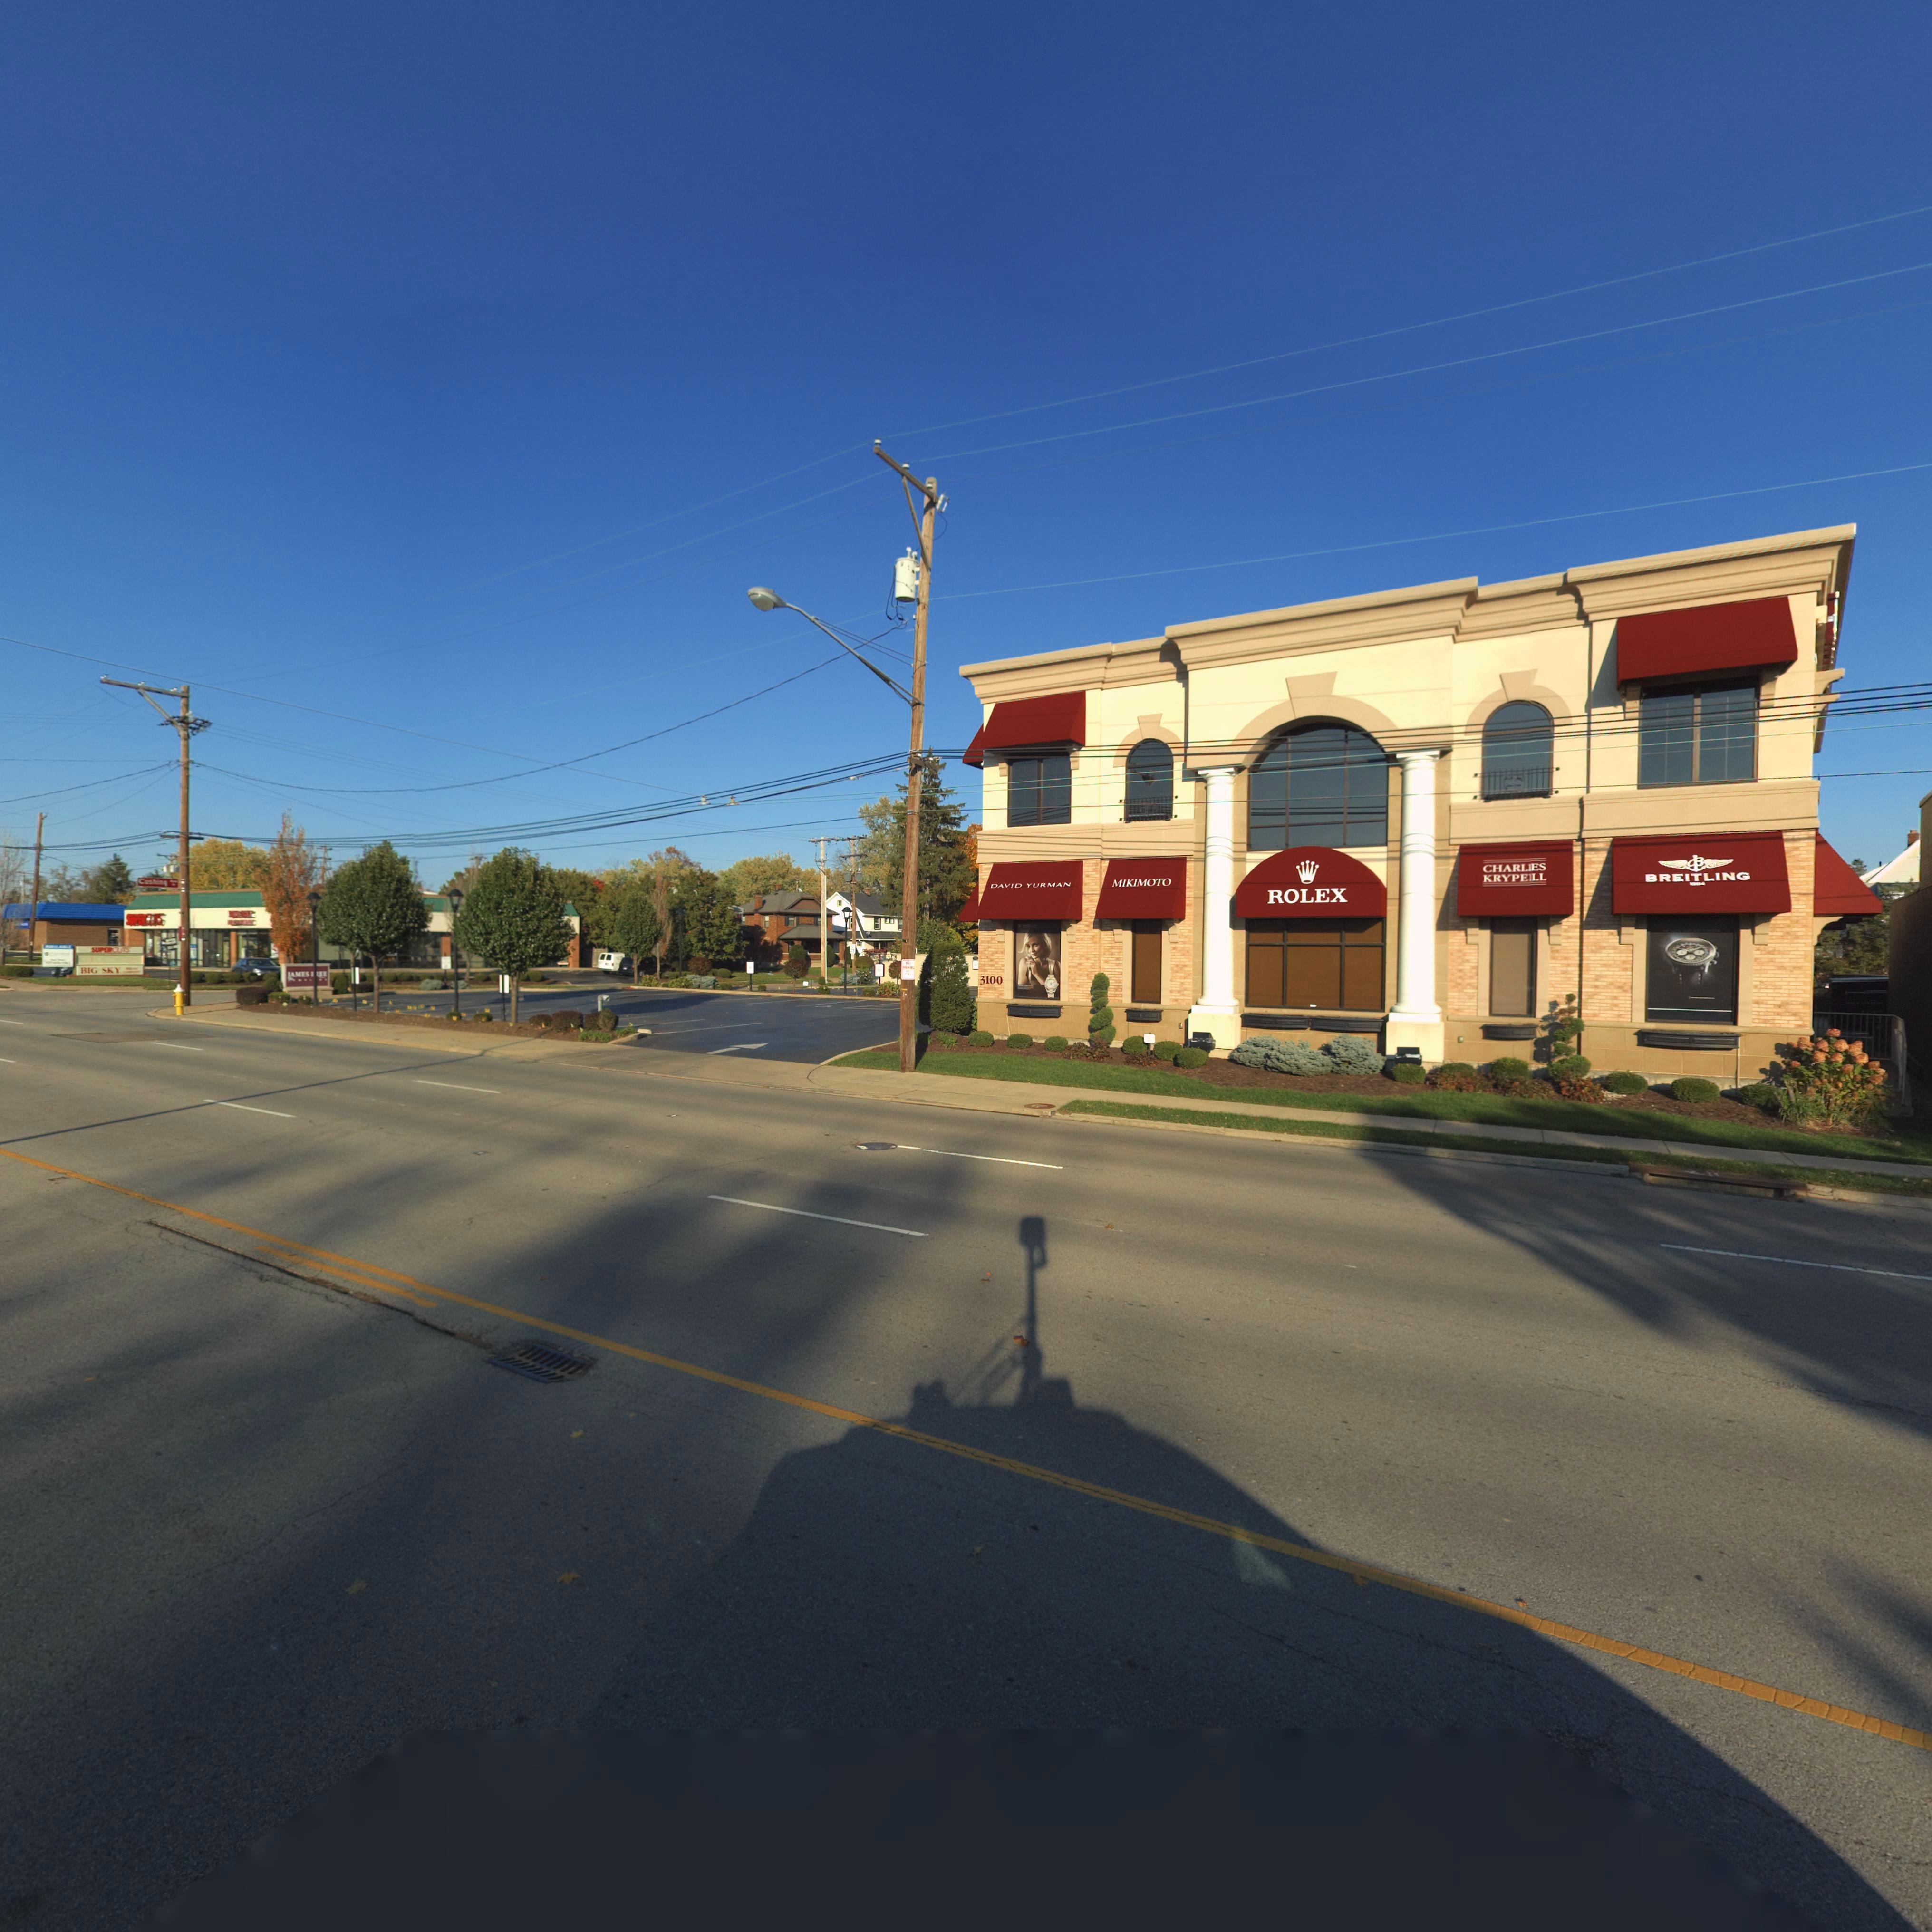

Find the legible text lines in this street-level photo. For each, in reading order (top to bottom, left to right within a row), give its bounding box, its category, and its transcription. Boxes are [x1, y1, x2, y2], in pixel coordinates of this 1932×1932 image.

[1481, 862, 1547, 874] None: CHARL*ES
[1481, 872, 1548, 883] None: KRYPE*LL
[979, 975, 1004, 986] StreetNumber: 3100